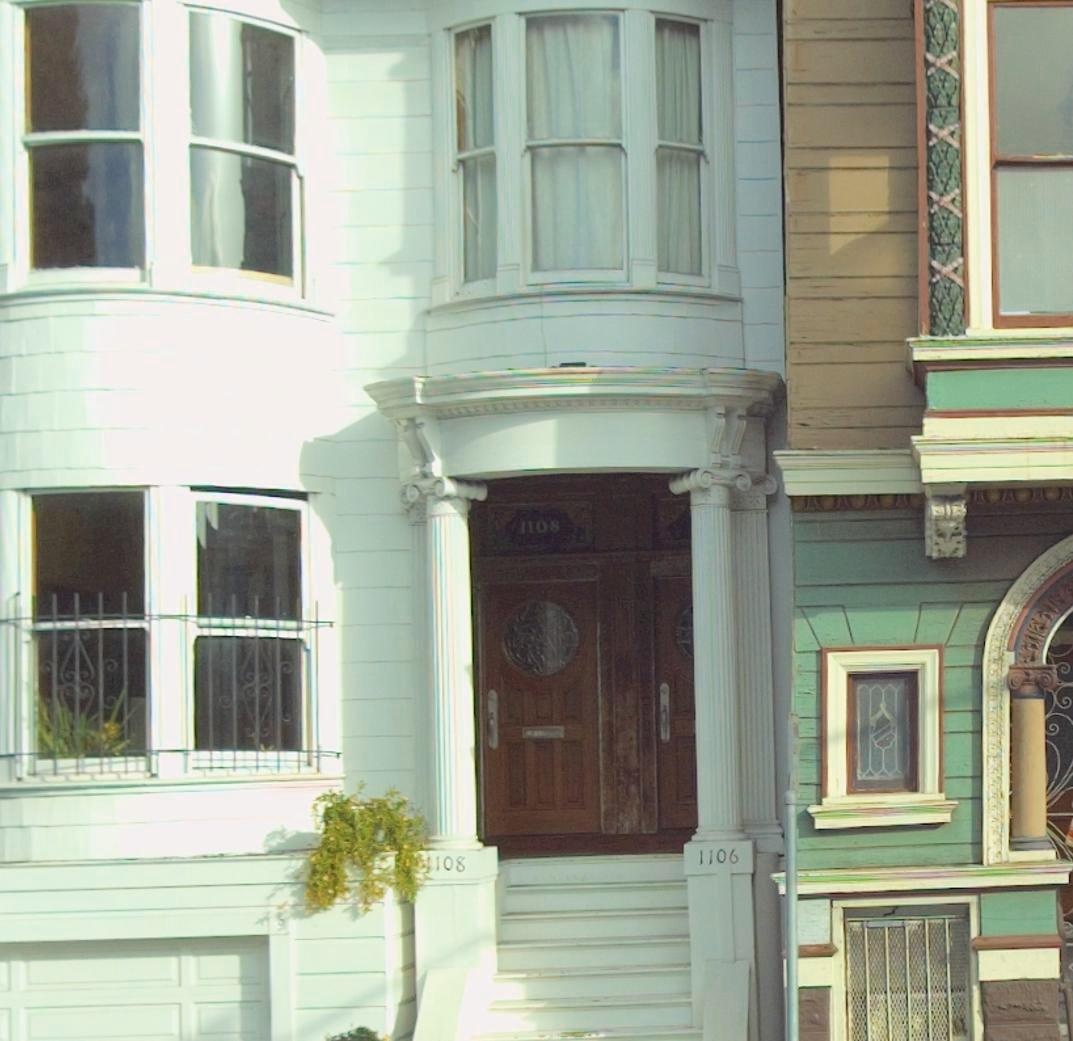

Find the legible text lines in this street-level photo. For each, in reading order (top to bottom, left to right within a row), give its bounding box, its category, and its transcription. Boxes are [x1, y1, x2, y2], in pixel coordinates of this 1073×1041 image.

[518, 517, 563, 536] StreetNumber: 1108
[433, 854, 468, 875] StreetNumber: 108
[697, 845, 743, 868] StreetNumber: 1106